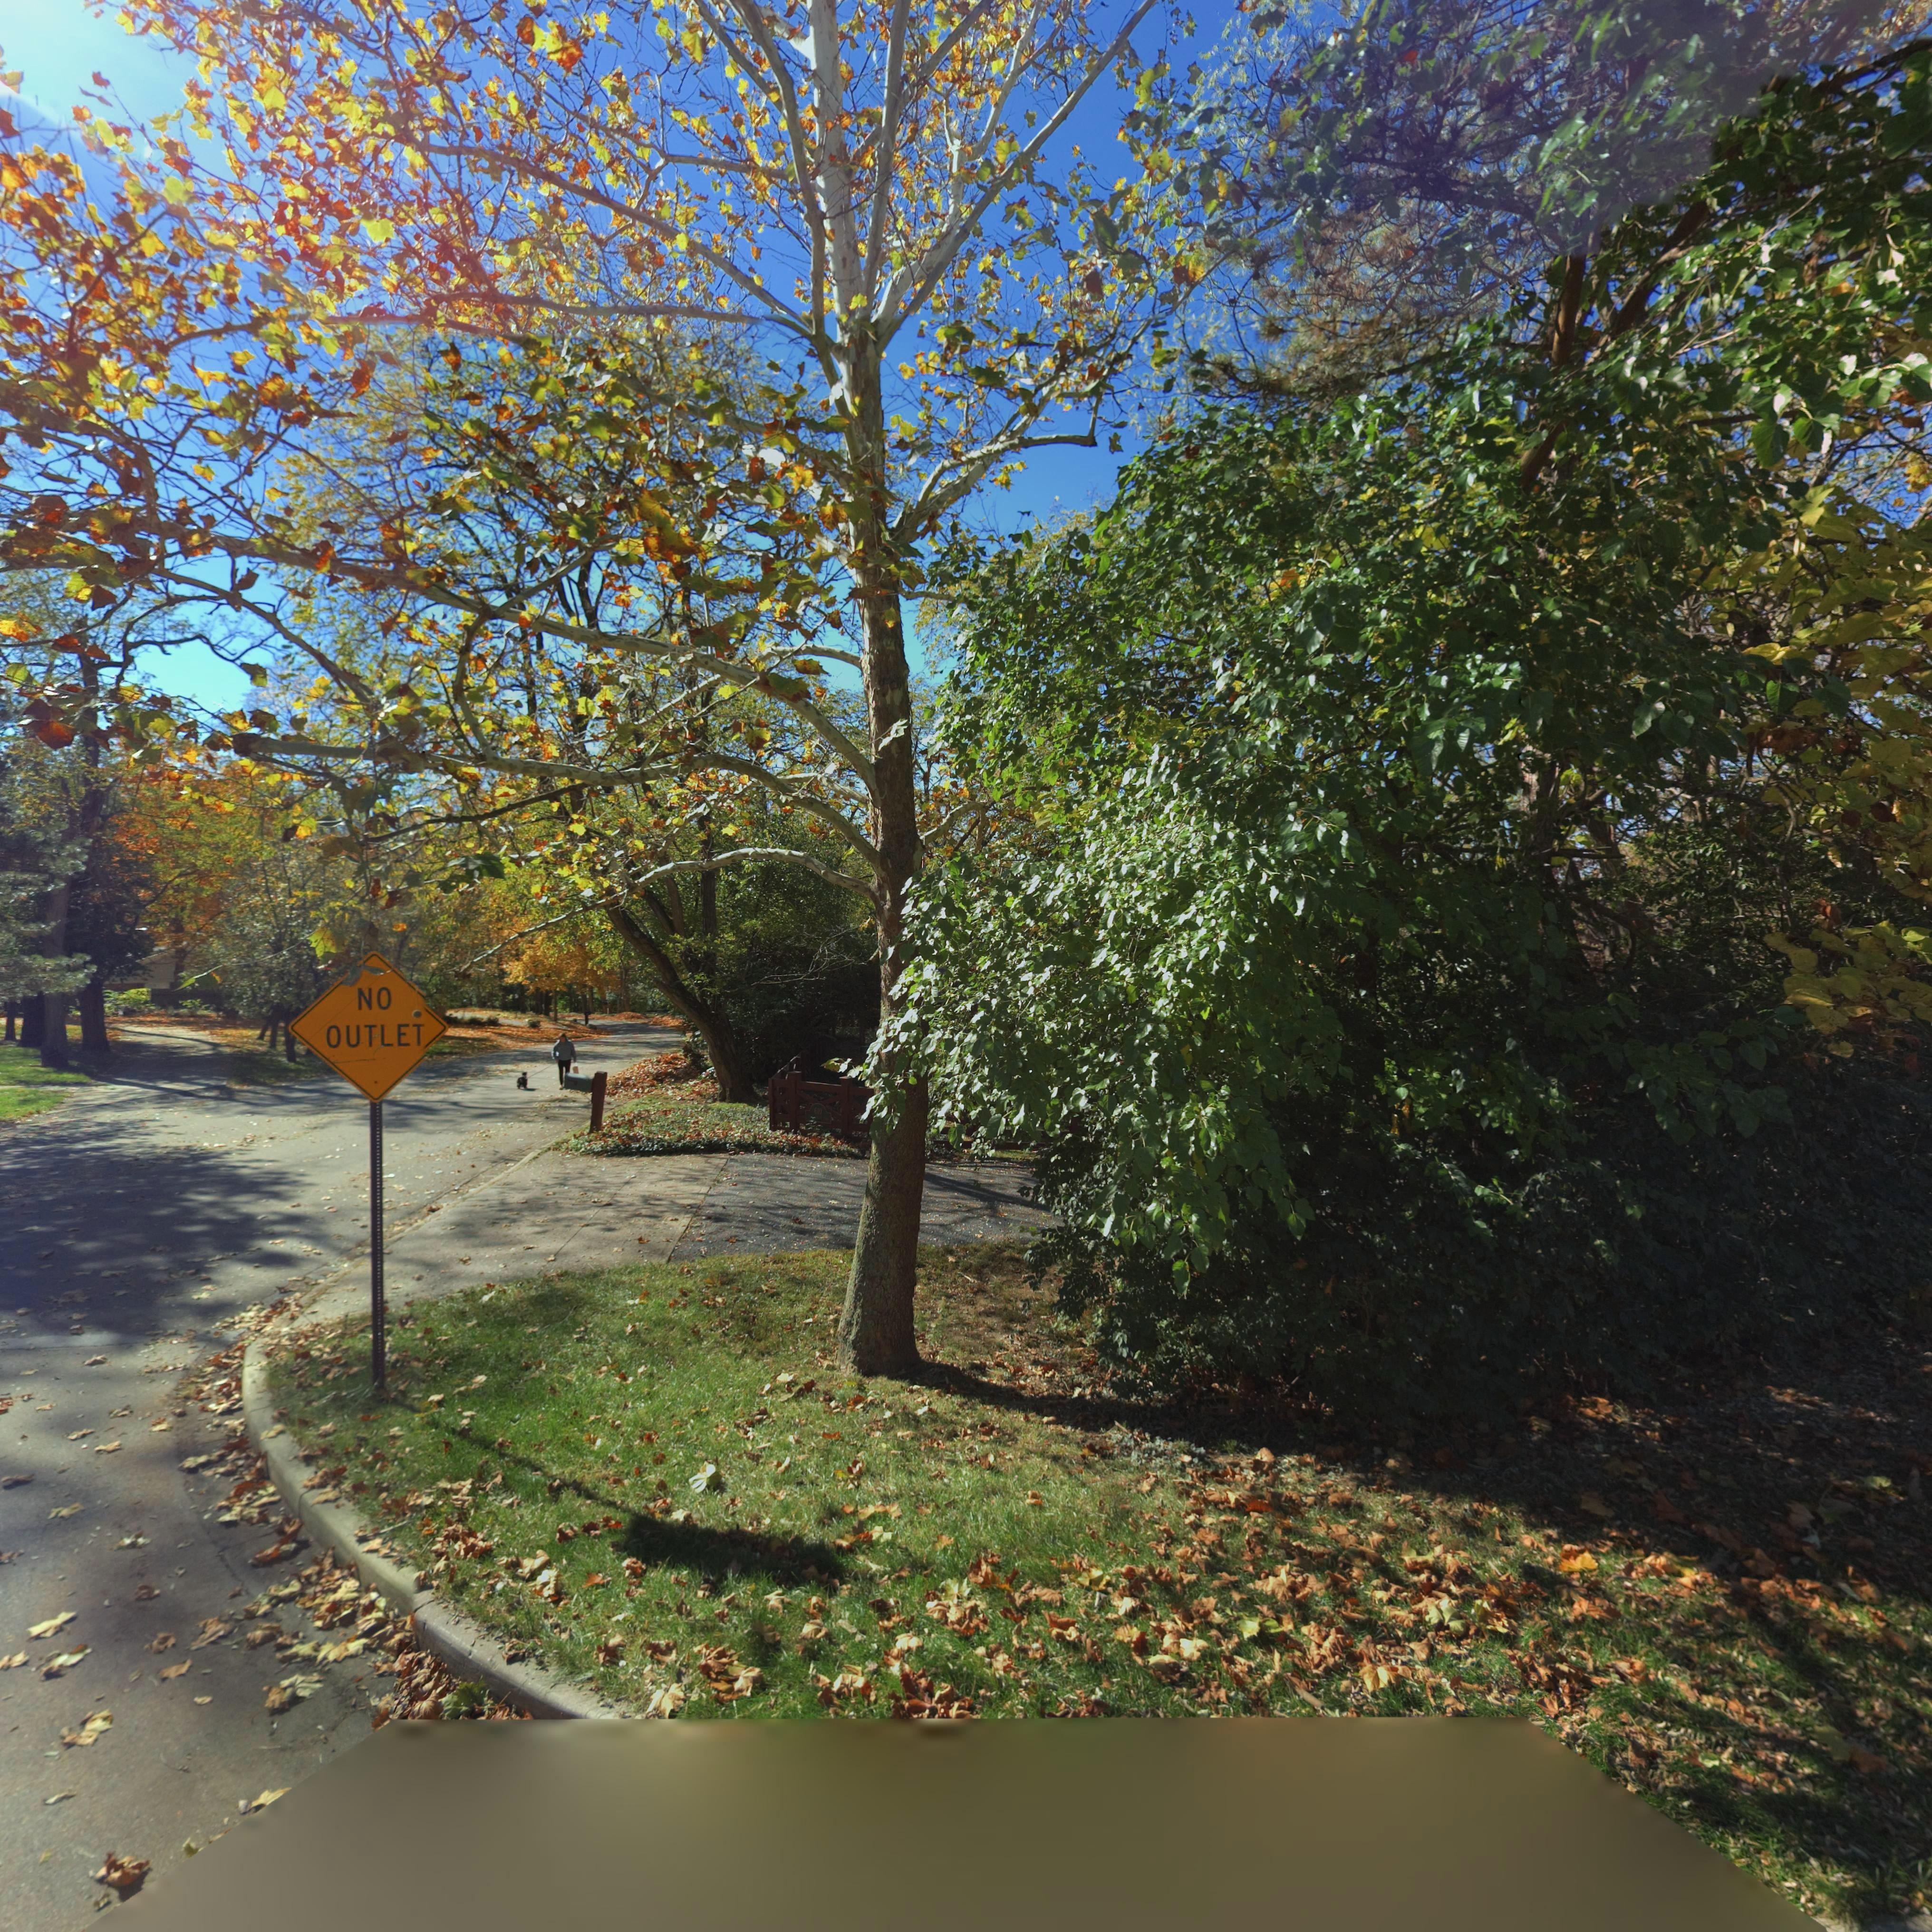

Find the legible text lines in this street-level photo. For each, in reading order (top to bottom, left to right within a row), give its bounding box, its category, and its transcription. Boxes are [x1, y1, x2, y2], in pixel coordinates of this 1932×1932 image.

[813, 1107, 823, 1116] StreetNumber: 610